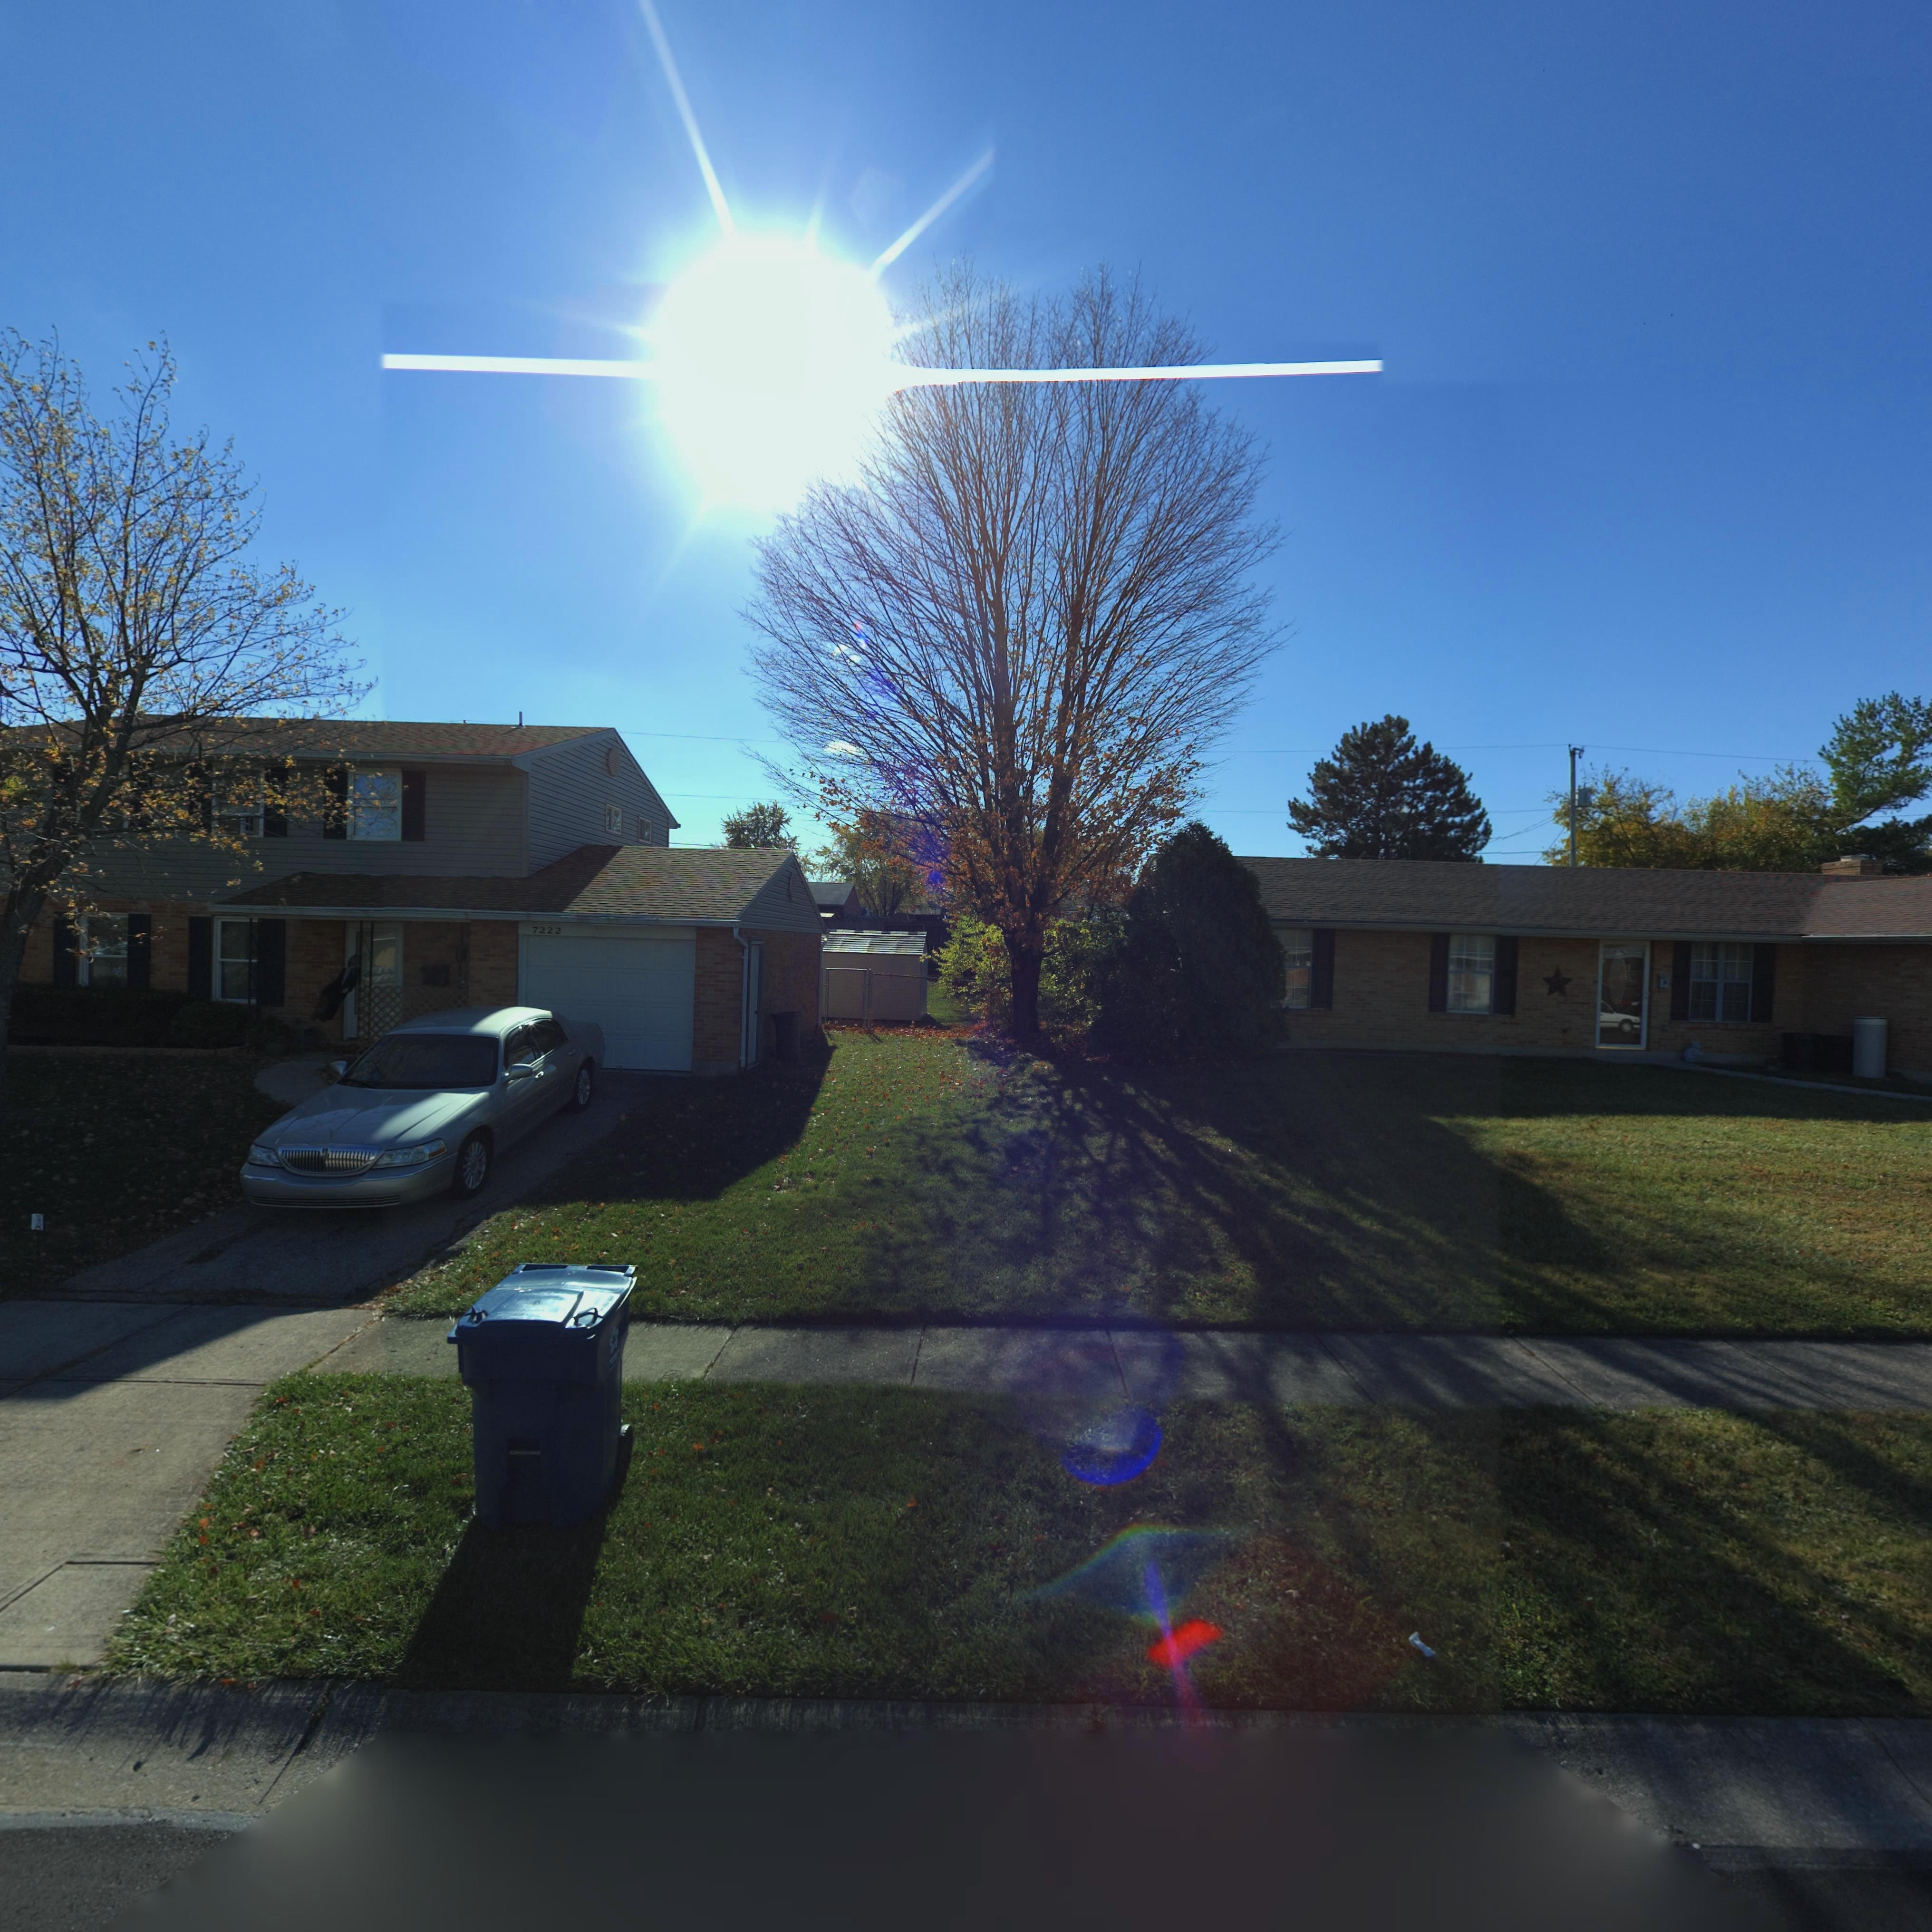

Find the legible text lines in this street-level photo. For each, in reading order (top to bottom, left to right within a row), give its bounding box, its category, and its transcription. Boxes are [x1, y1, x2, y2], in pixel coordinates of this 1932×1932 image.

[531, 926, 562, 935] StreetNumber: 7222